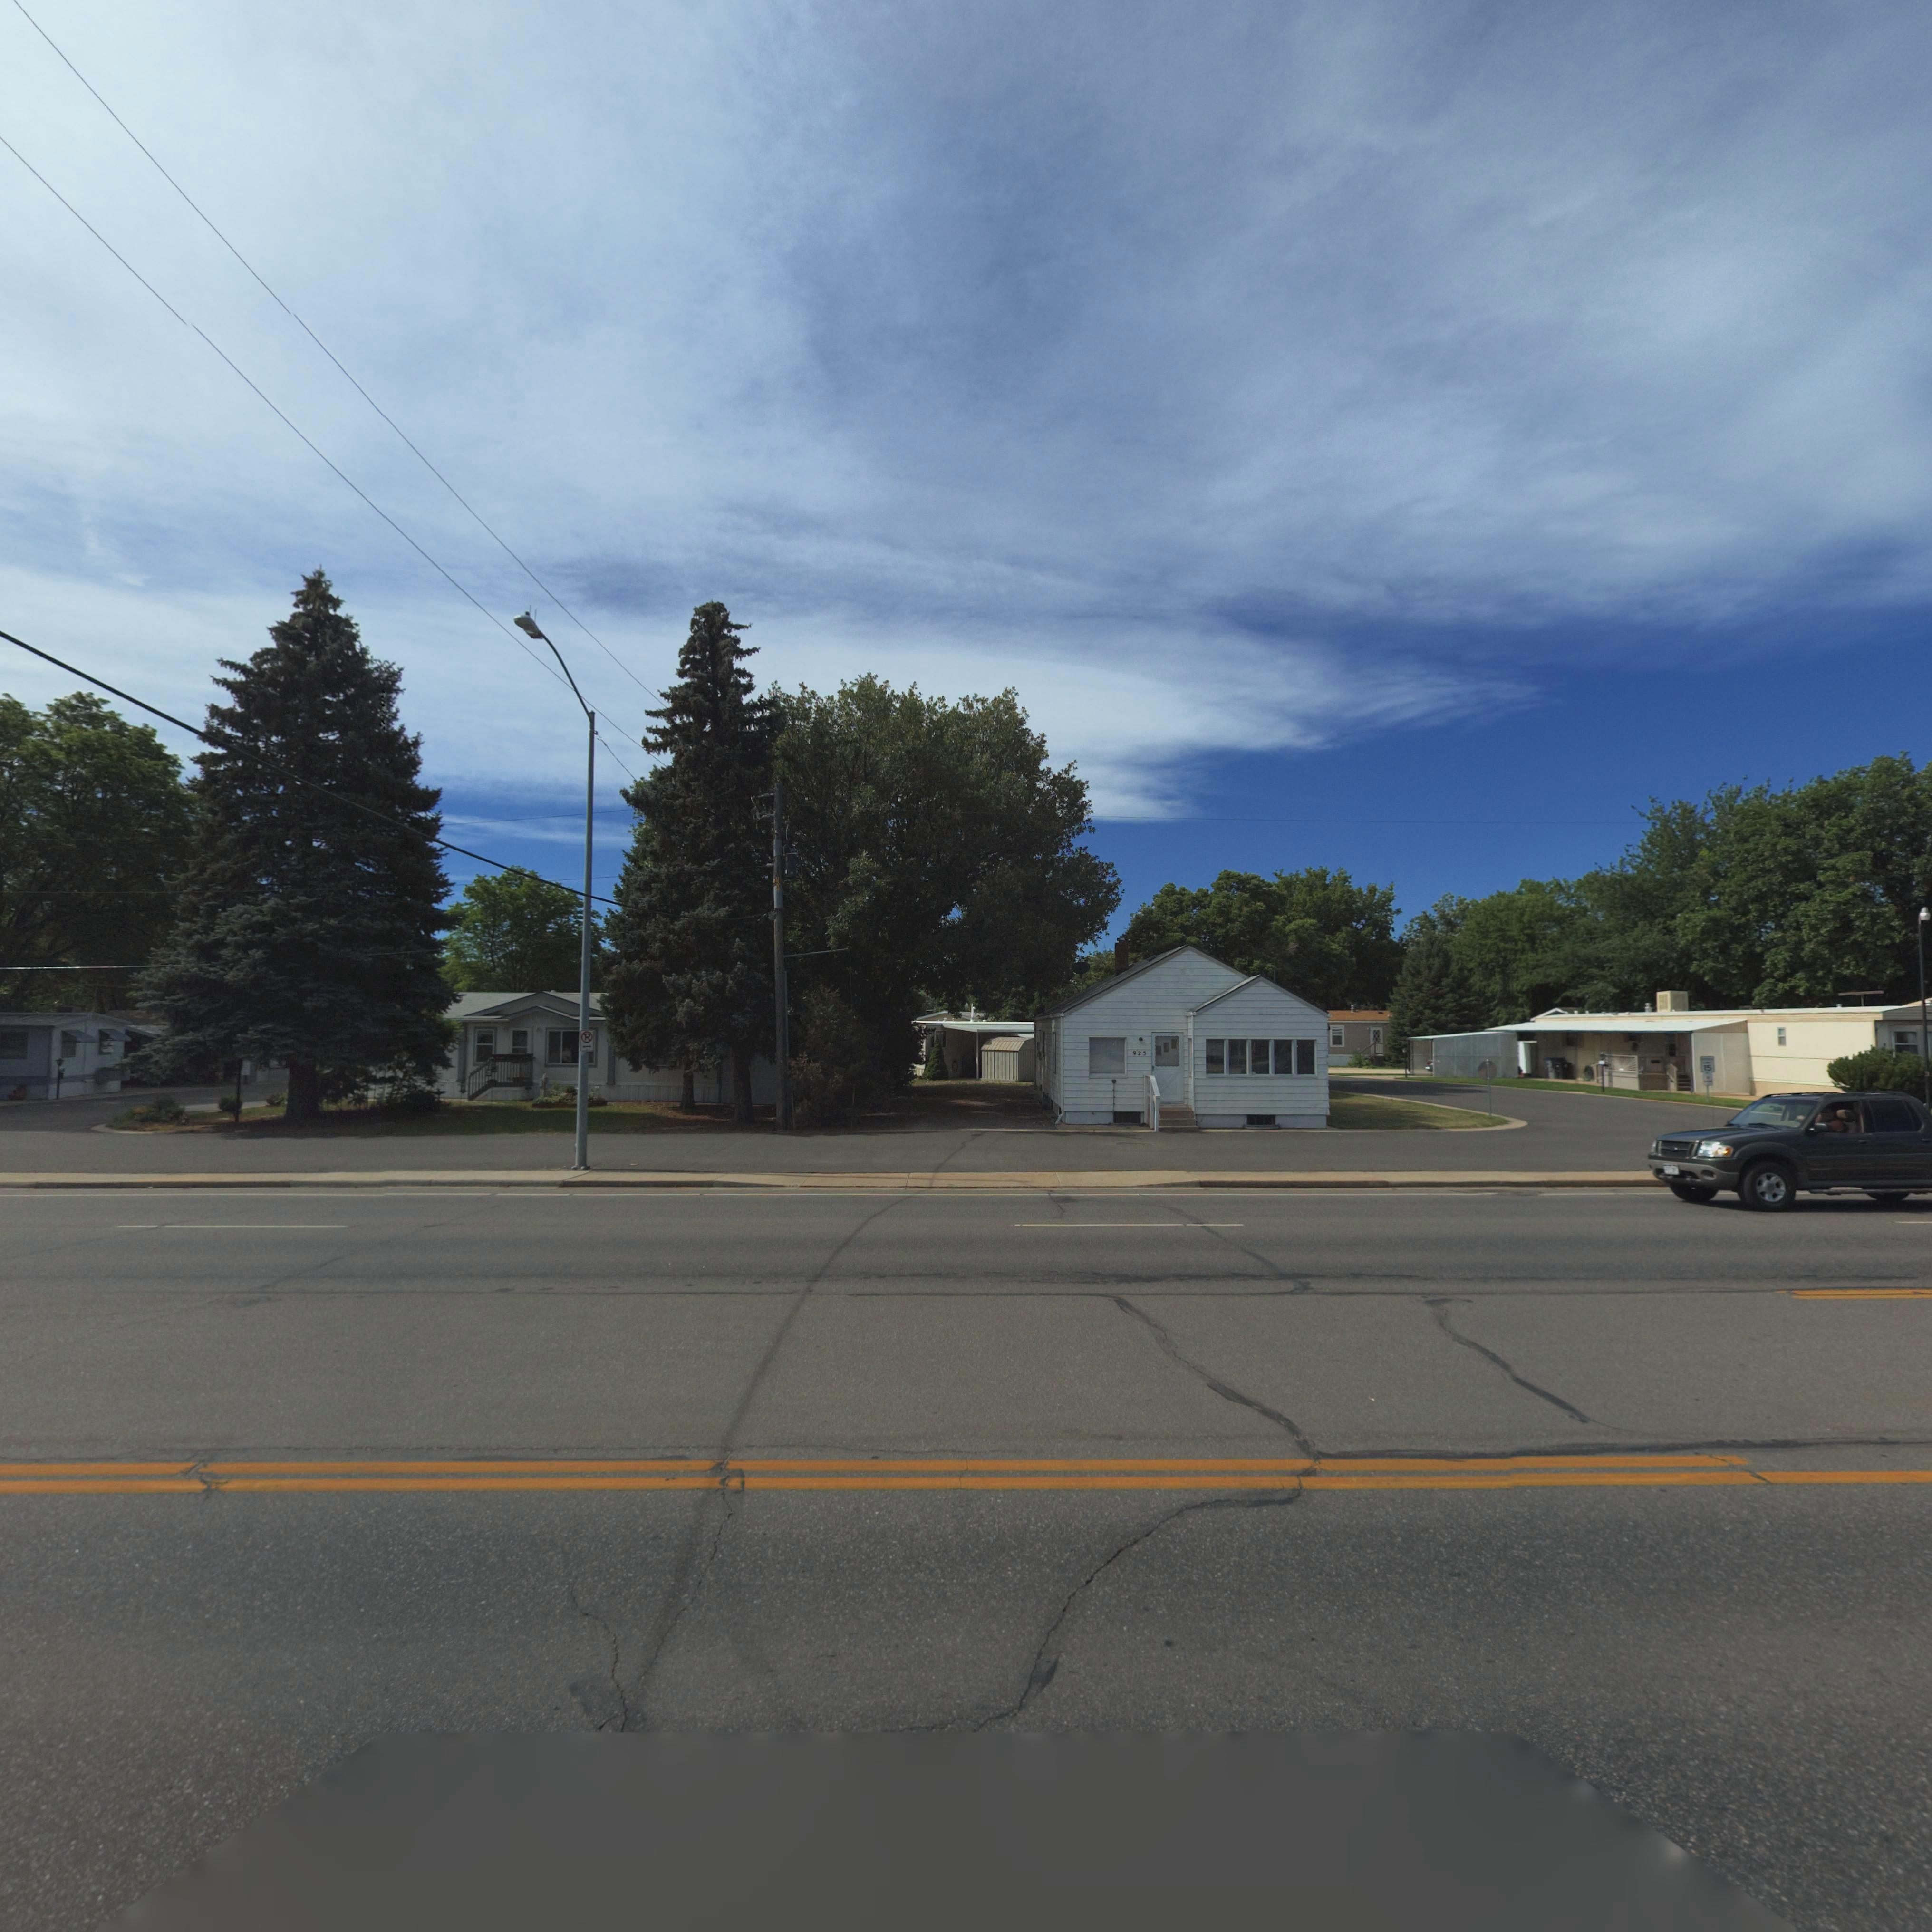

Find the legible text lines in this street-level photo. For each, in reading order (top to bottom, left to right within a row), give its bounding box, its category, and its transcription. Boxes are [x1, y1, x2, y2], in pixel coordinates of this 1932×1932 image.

[1132, 1050, 1146, 1056] StreetNumber: 925